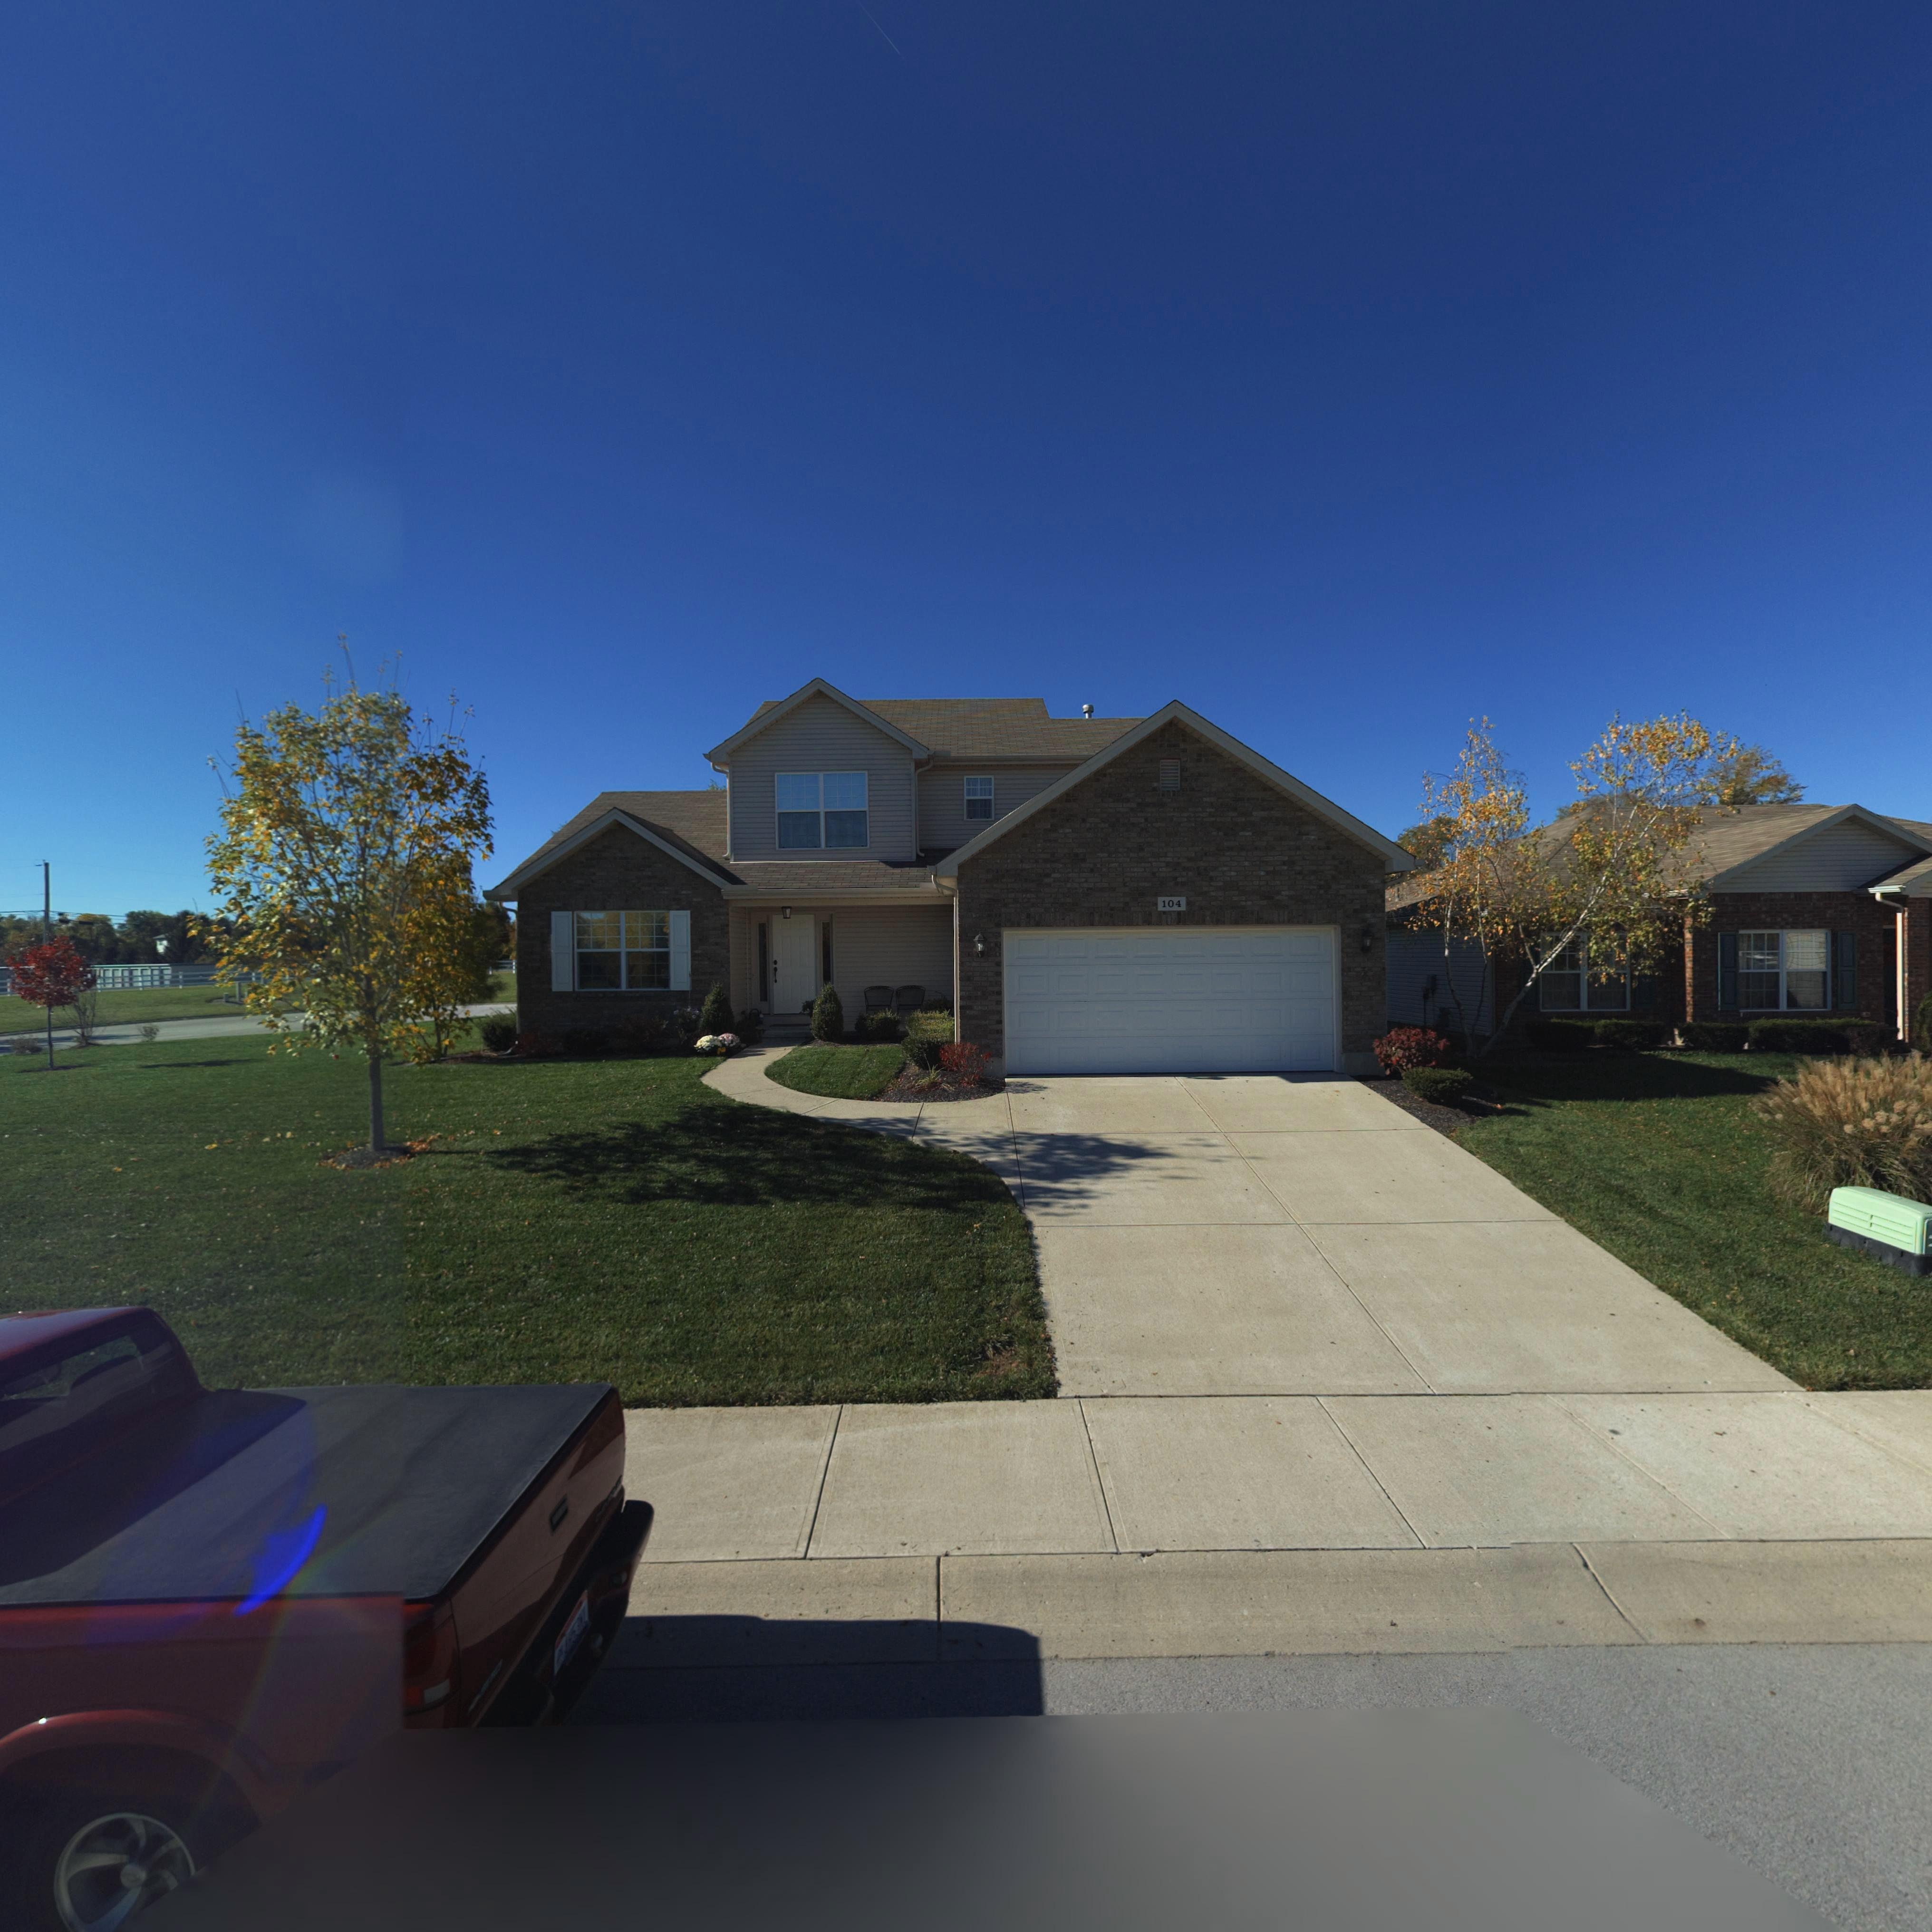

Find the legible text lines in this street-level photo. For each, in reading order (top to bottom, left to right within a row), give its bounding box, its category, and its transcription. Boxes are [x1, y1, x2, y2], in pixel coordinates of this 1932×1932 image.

[1161, 899, 1182, 908] StreetNumber: 104